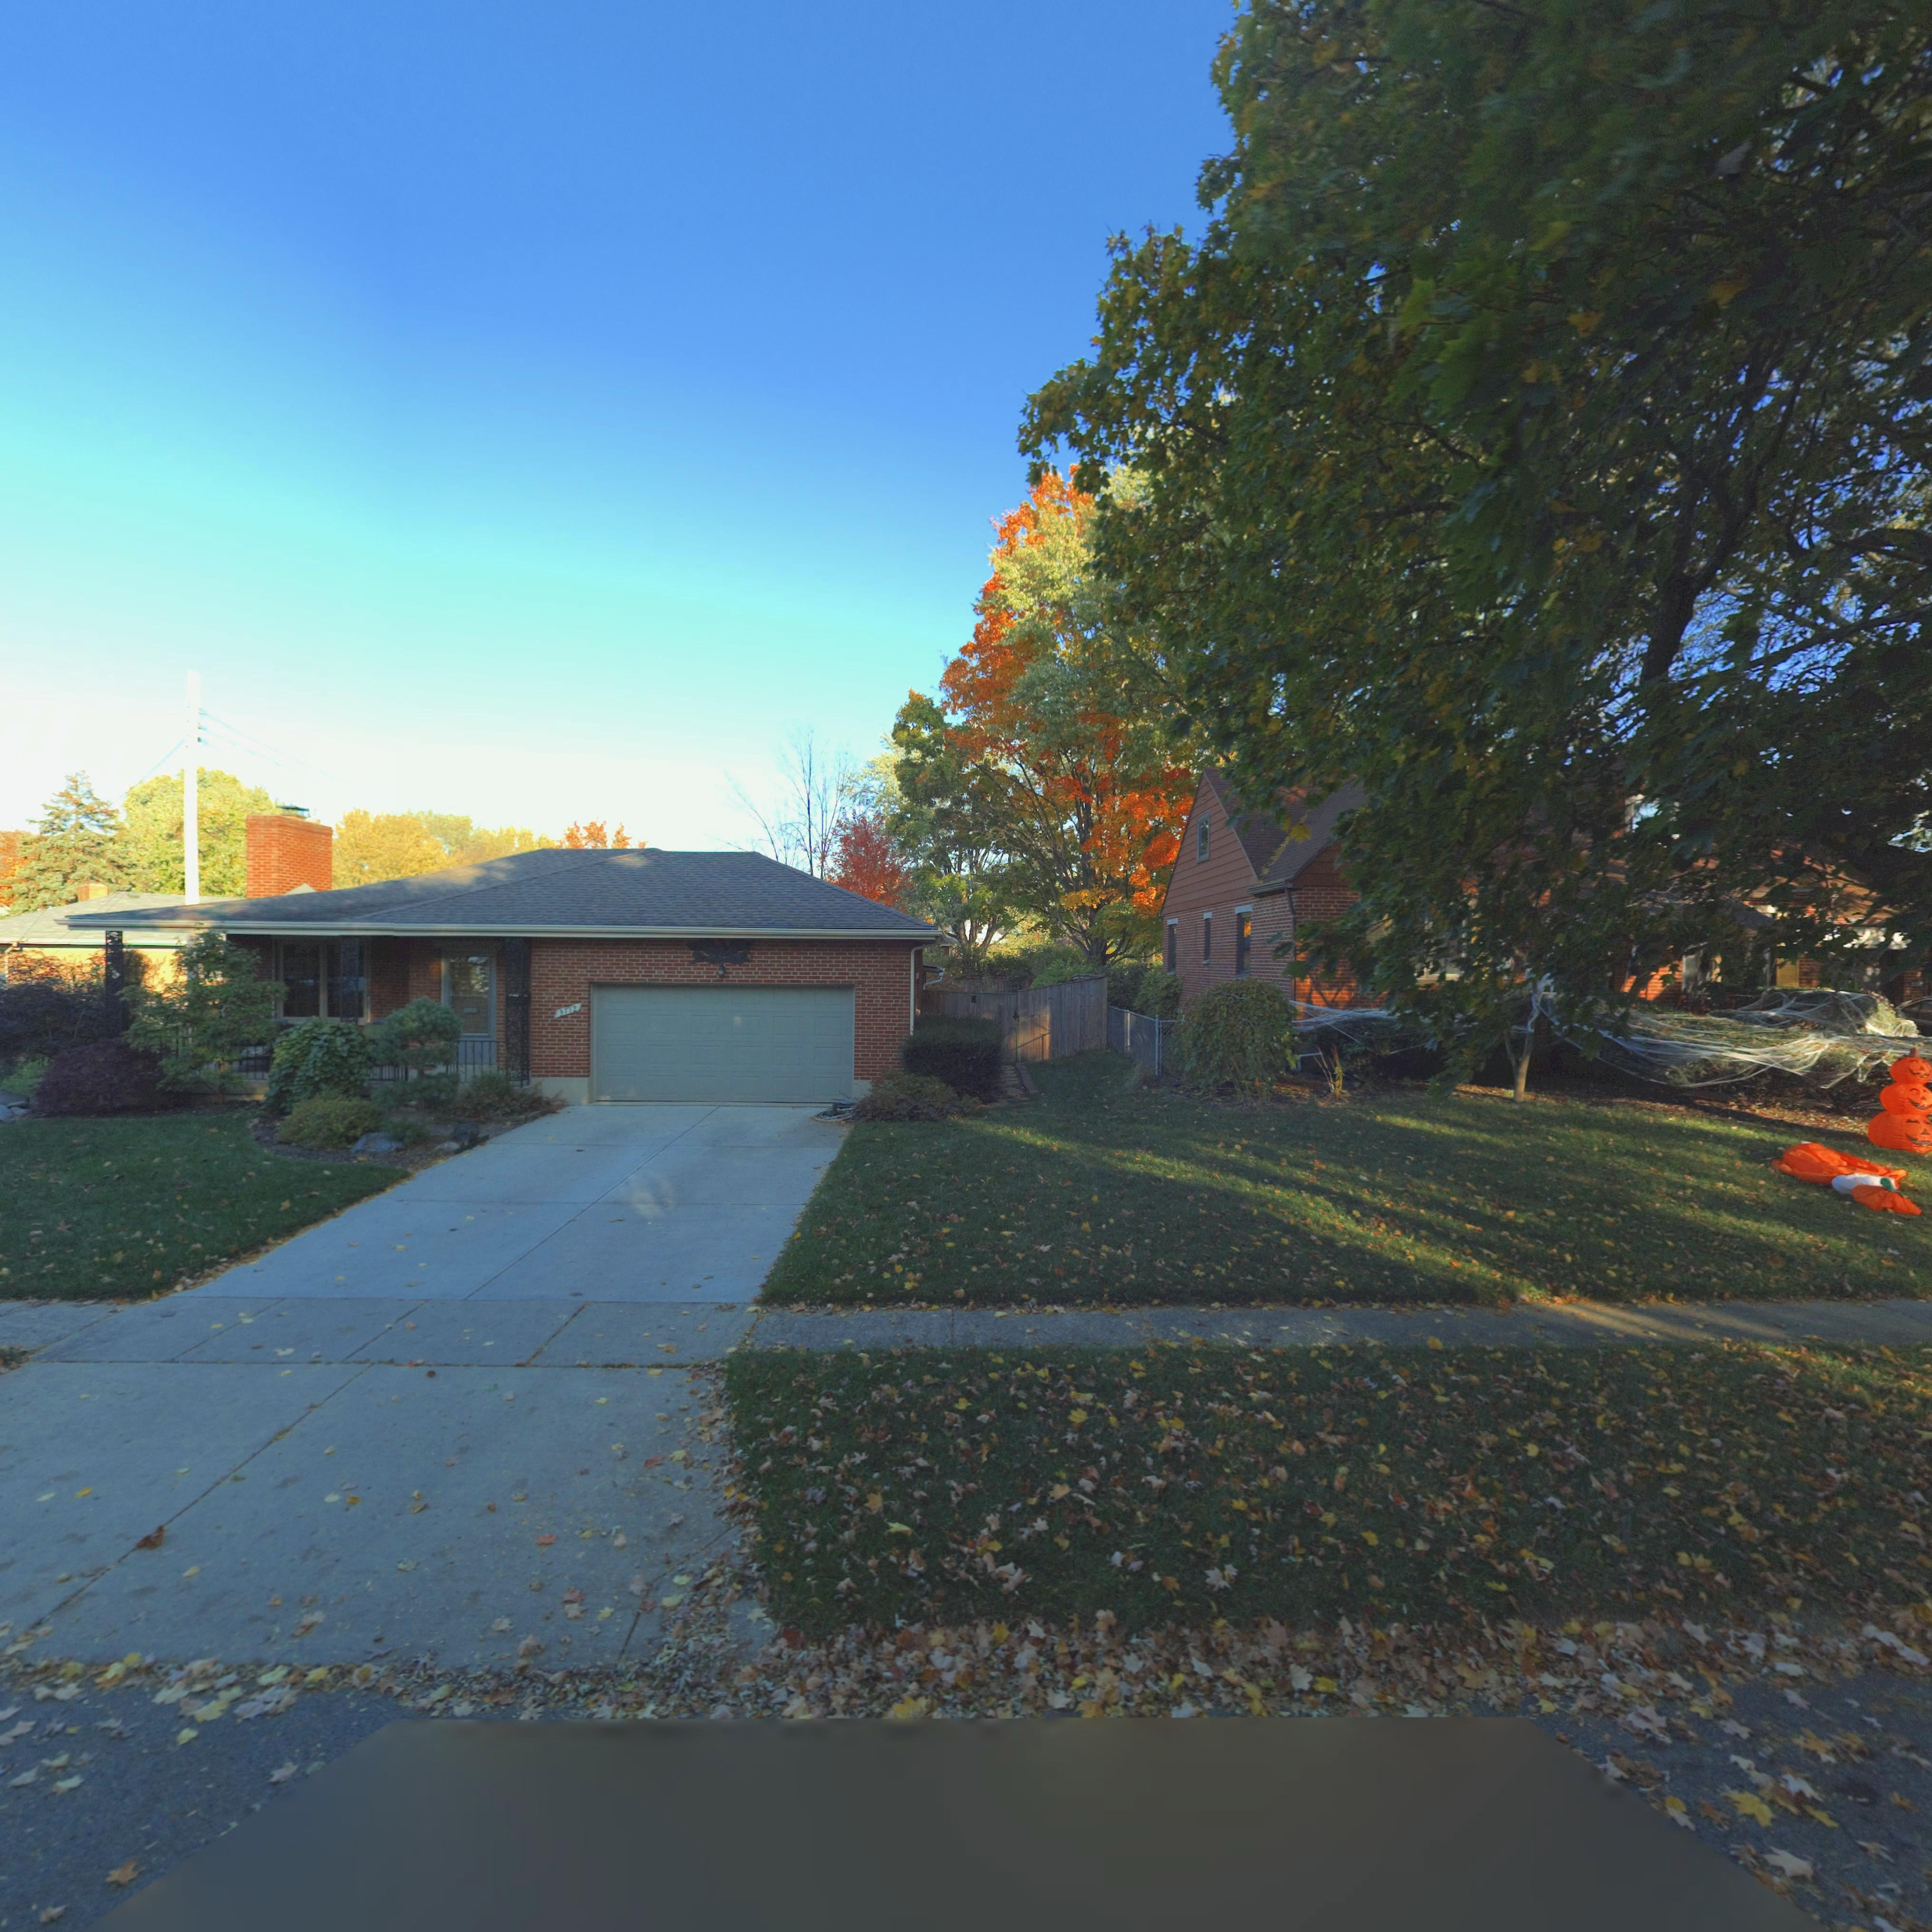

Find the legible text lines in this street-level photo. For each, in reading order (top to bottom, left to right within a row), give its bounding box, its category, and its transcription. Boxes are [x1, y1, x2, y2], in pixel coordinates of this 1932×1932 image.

[559, 1005, 577, 1017] StreetNumber: 3712